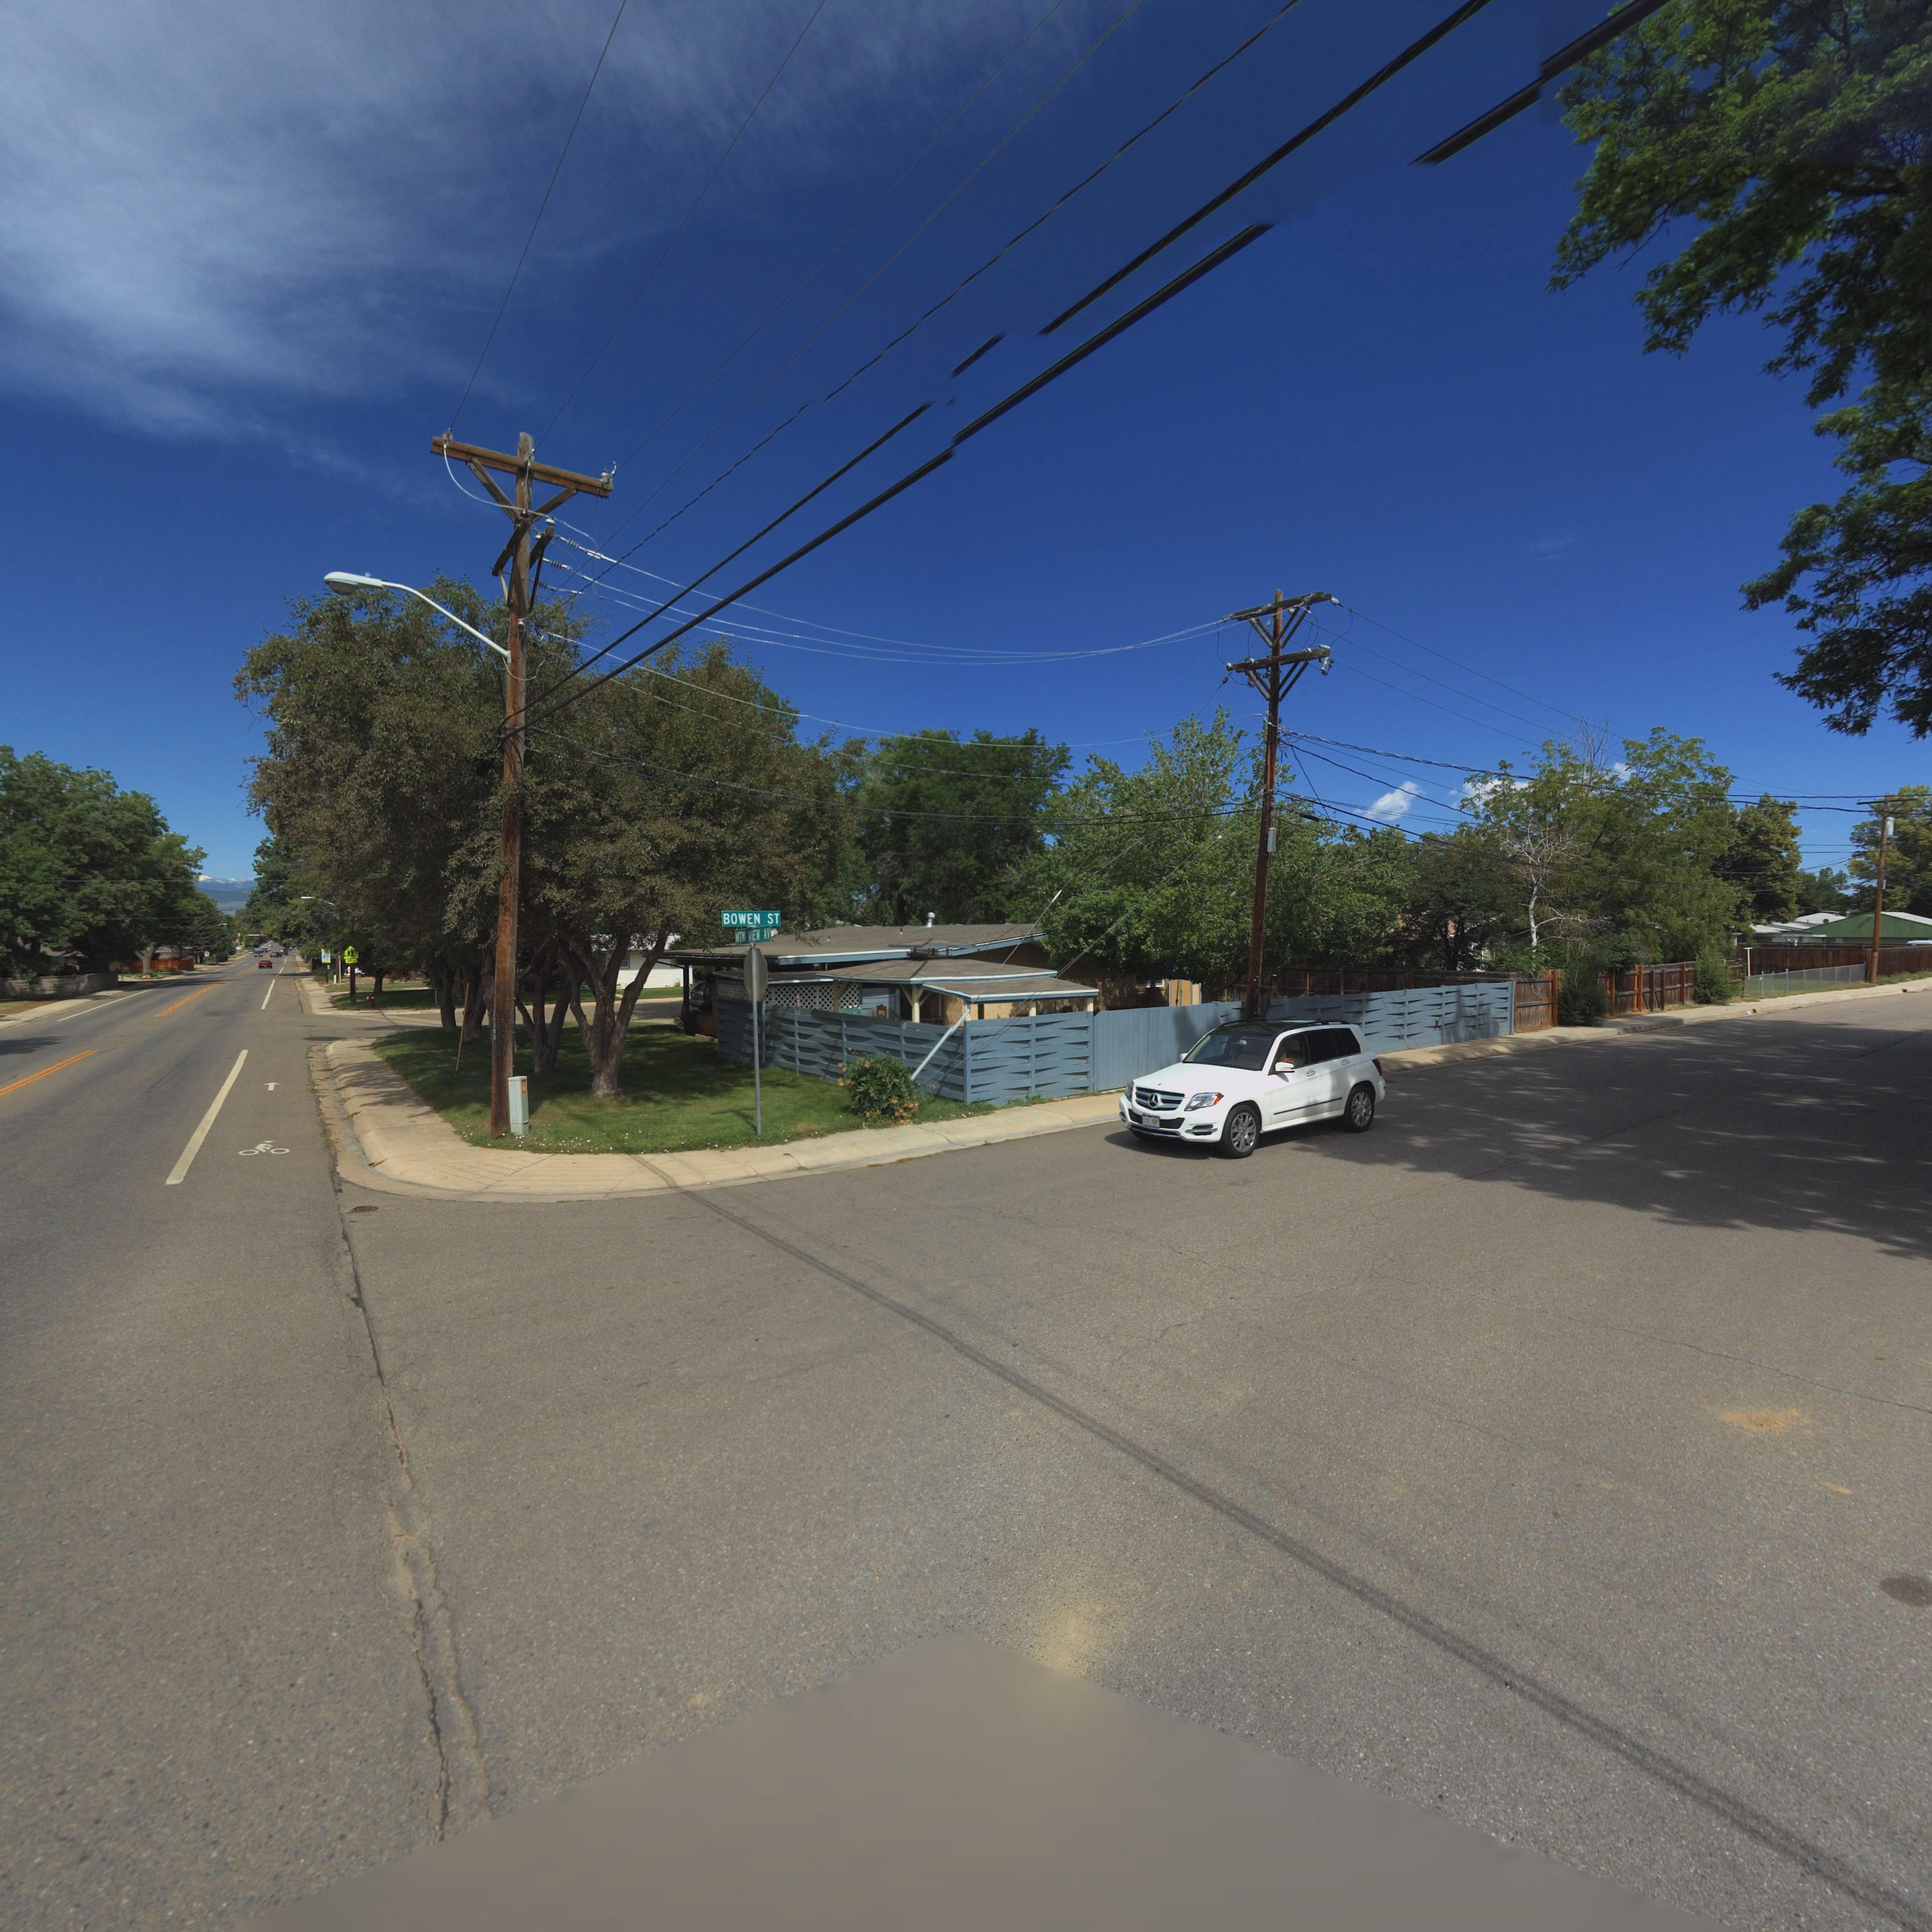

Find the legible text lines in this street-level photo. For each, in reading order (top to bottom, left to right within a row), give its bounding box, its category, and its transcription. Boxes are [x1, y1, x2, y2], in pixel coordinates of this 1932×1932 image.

[723, 913, 779, 924] StreetName: BOWEN ST
[734, 927, 770, 942] StreetName: MTN VIEW AV